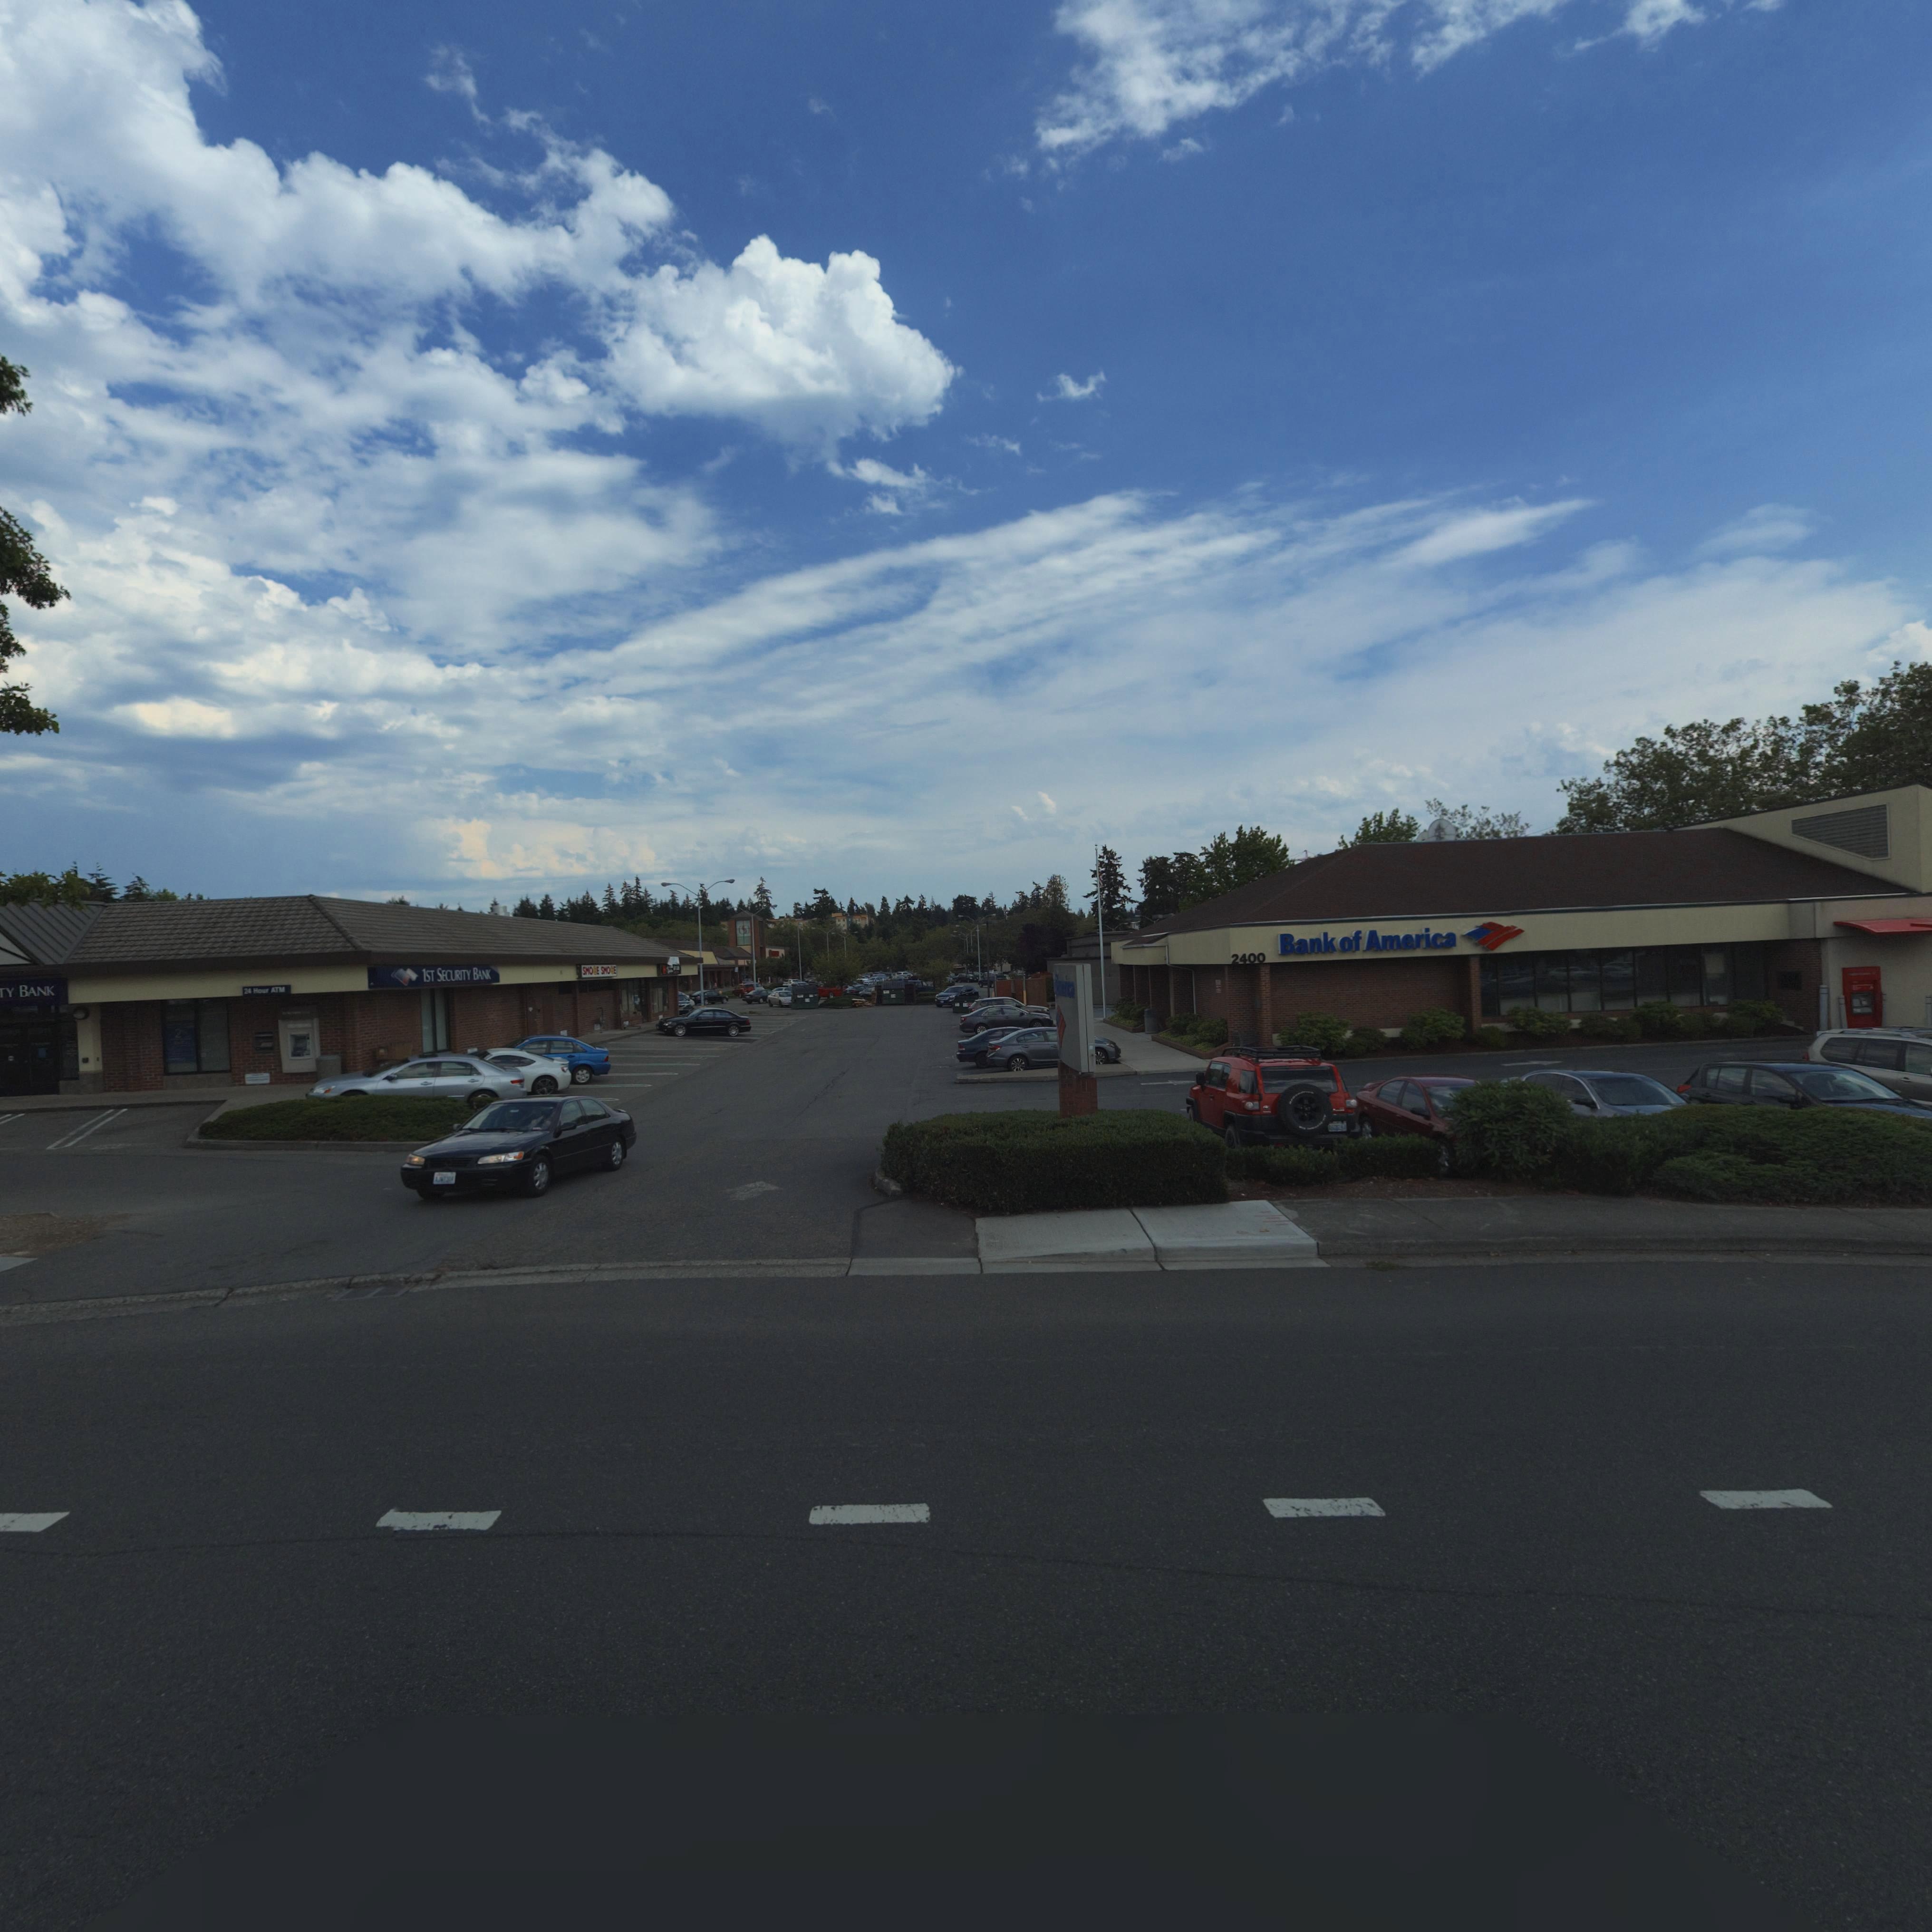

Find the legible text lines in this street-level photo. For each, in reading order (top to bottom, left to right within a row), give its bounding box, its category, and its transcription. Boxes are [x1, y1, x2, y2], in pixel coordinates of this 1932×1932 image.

[1277, 927, 1457, 955] BusinessName: Bank of America
[1230, 952, 1266, 965] StreetNumber: 2400
[421, 967, 492, 982] BusinessName: 1ST SECURITY BANK
[582, 966, 617, 975] BusinessName: SMO*E SMO*E
[5, 984, 55, 998] BusinessName: Y BANK